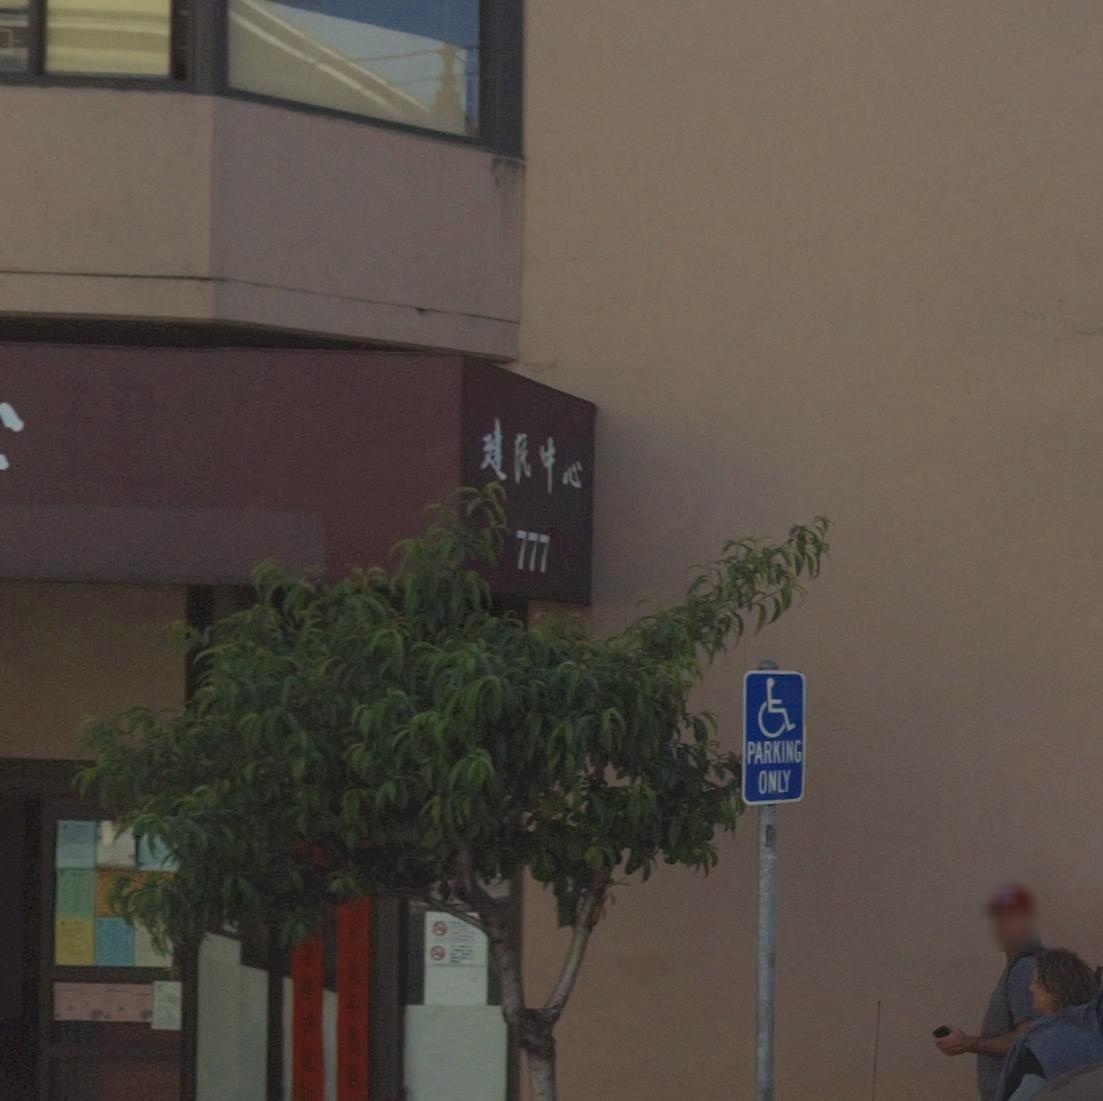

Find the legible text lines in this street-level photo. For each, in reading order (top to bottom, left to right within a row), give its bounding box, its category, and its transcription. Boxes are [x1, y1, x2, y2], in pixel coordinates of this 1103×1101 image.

[513, 527, 551, 576] StreetNumber: 777
[745, 738, 803, 767] None: PARKING
[757, 768, 793, 796] None: ONLY